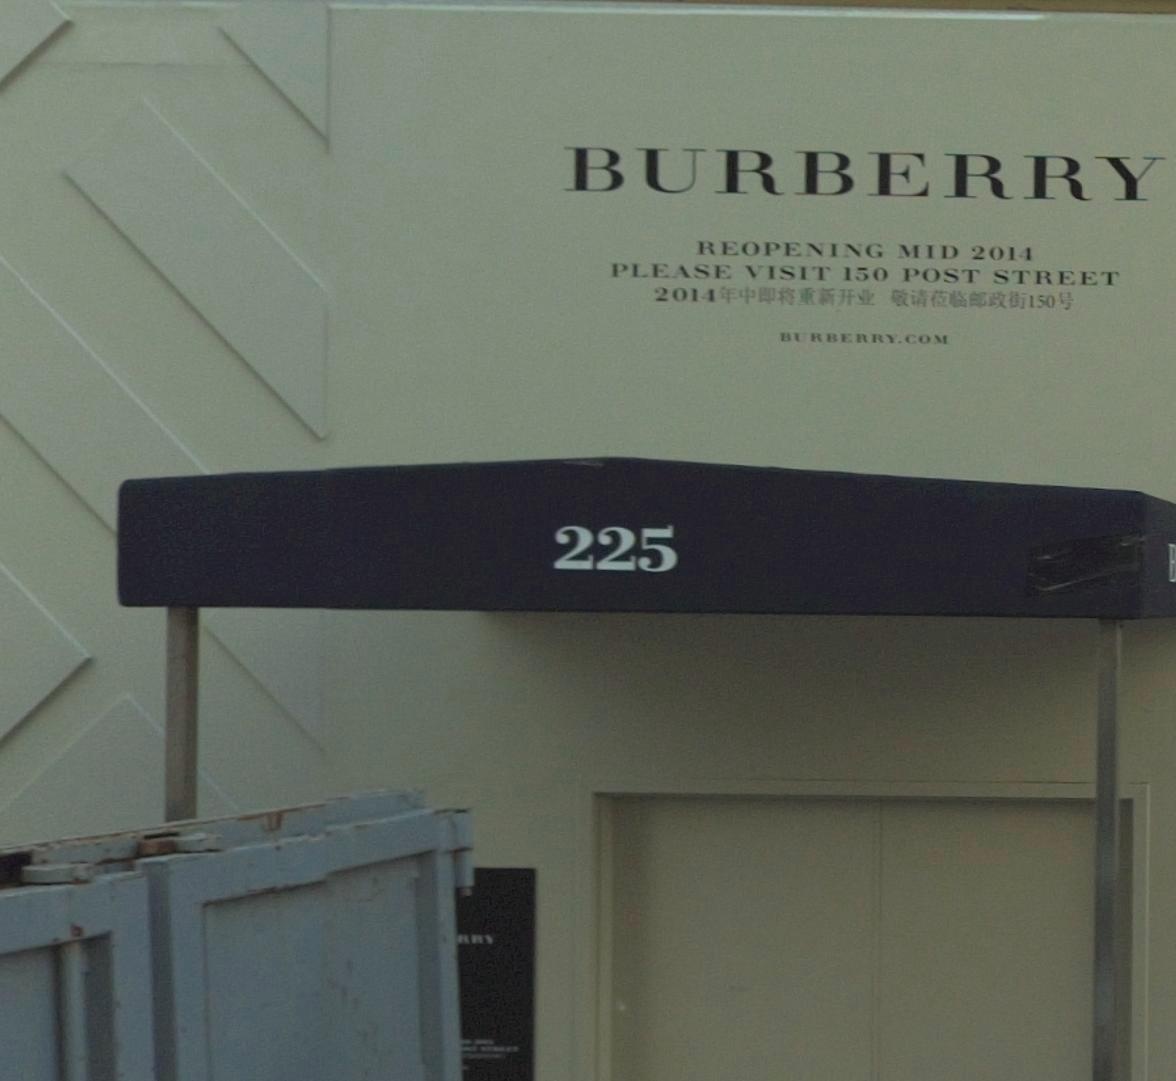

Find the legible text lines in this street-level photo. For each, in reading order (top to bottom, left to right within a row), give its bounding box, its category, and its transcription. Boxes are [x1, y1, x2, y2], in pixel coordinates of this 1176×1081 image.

[556, 139, 1168, 206] BusinessName: BURBERRY
[692, 236, 1042, 266] None: REOPENING MID 2014
[606, 258, 1124, 291] None: PLEASE VISIT 150 POST STREET
[649, 283, 721, 309] None: 2014
[1024, 292, 1060, 311] None: 150
[776, 328, 951, 351] None: BURBERRY.COM
[547, 520, 684, 575] StreetNumber: 225
[466, 929, 500, 949] None: RY